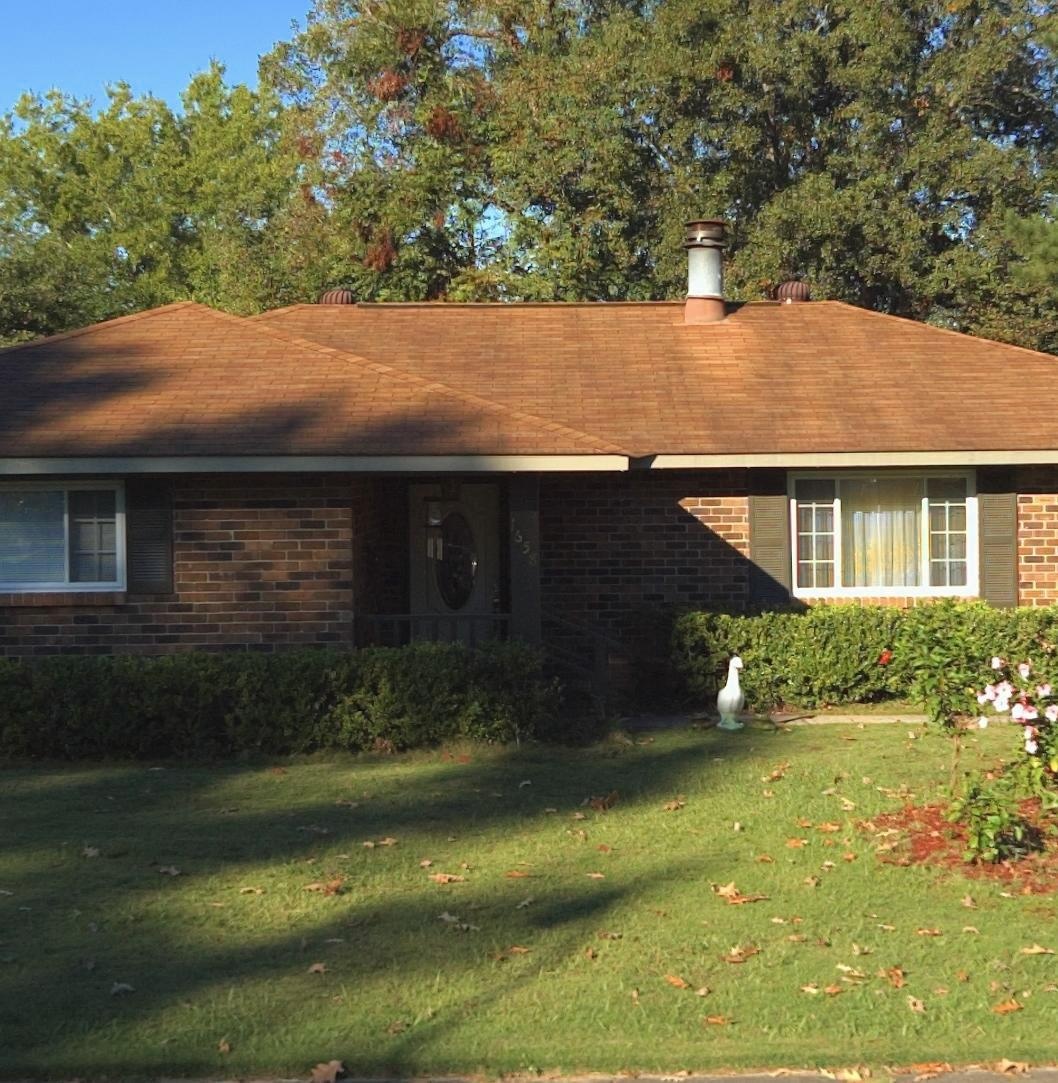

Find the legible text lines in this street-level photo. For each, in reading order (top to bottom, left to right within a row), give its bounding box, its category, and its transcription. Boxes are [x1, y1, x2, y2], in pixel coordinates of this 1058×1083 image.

[507, 514, 540, 569] StreetNumber: 1658